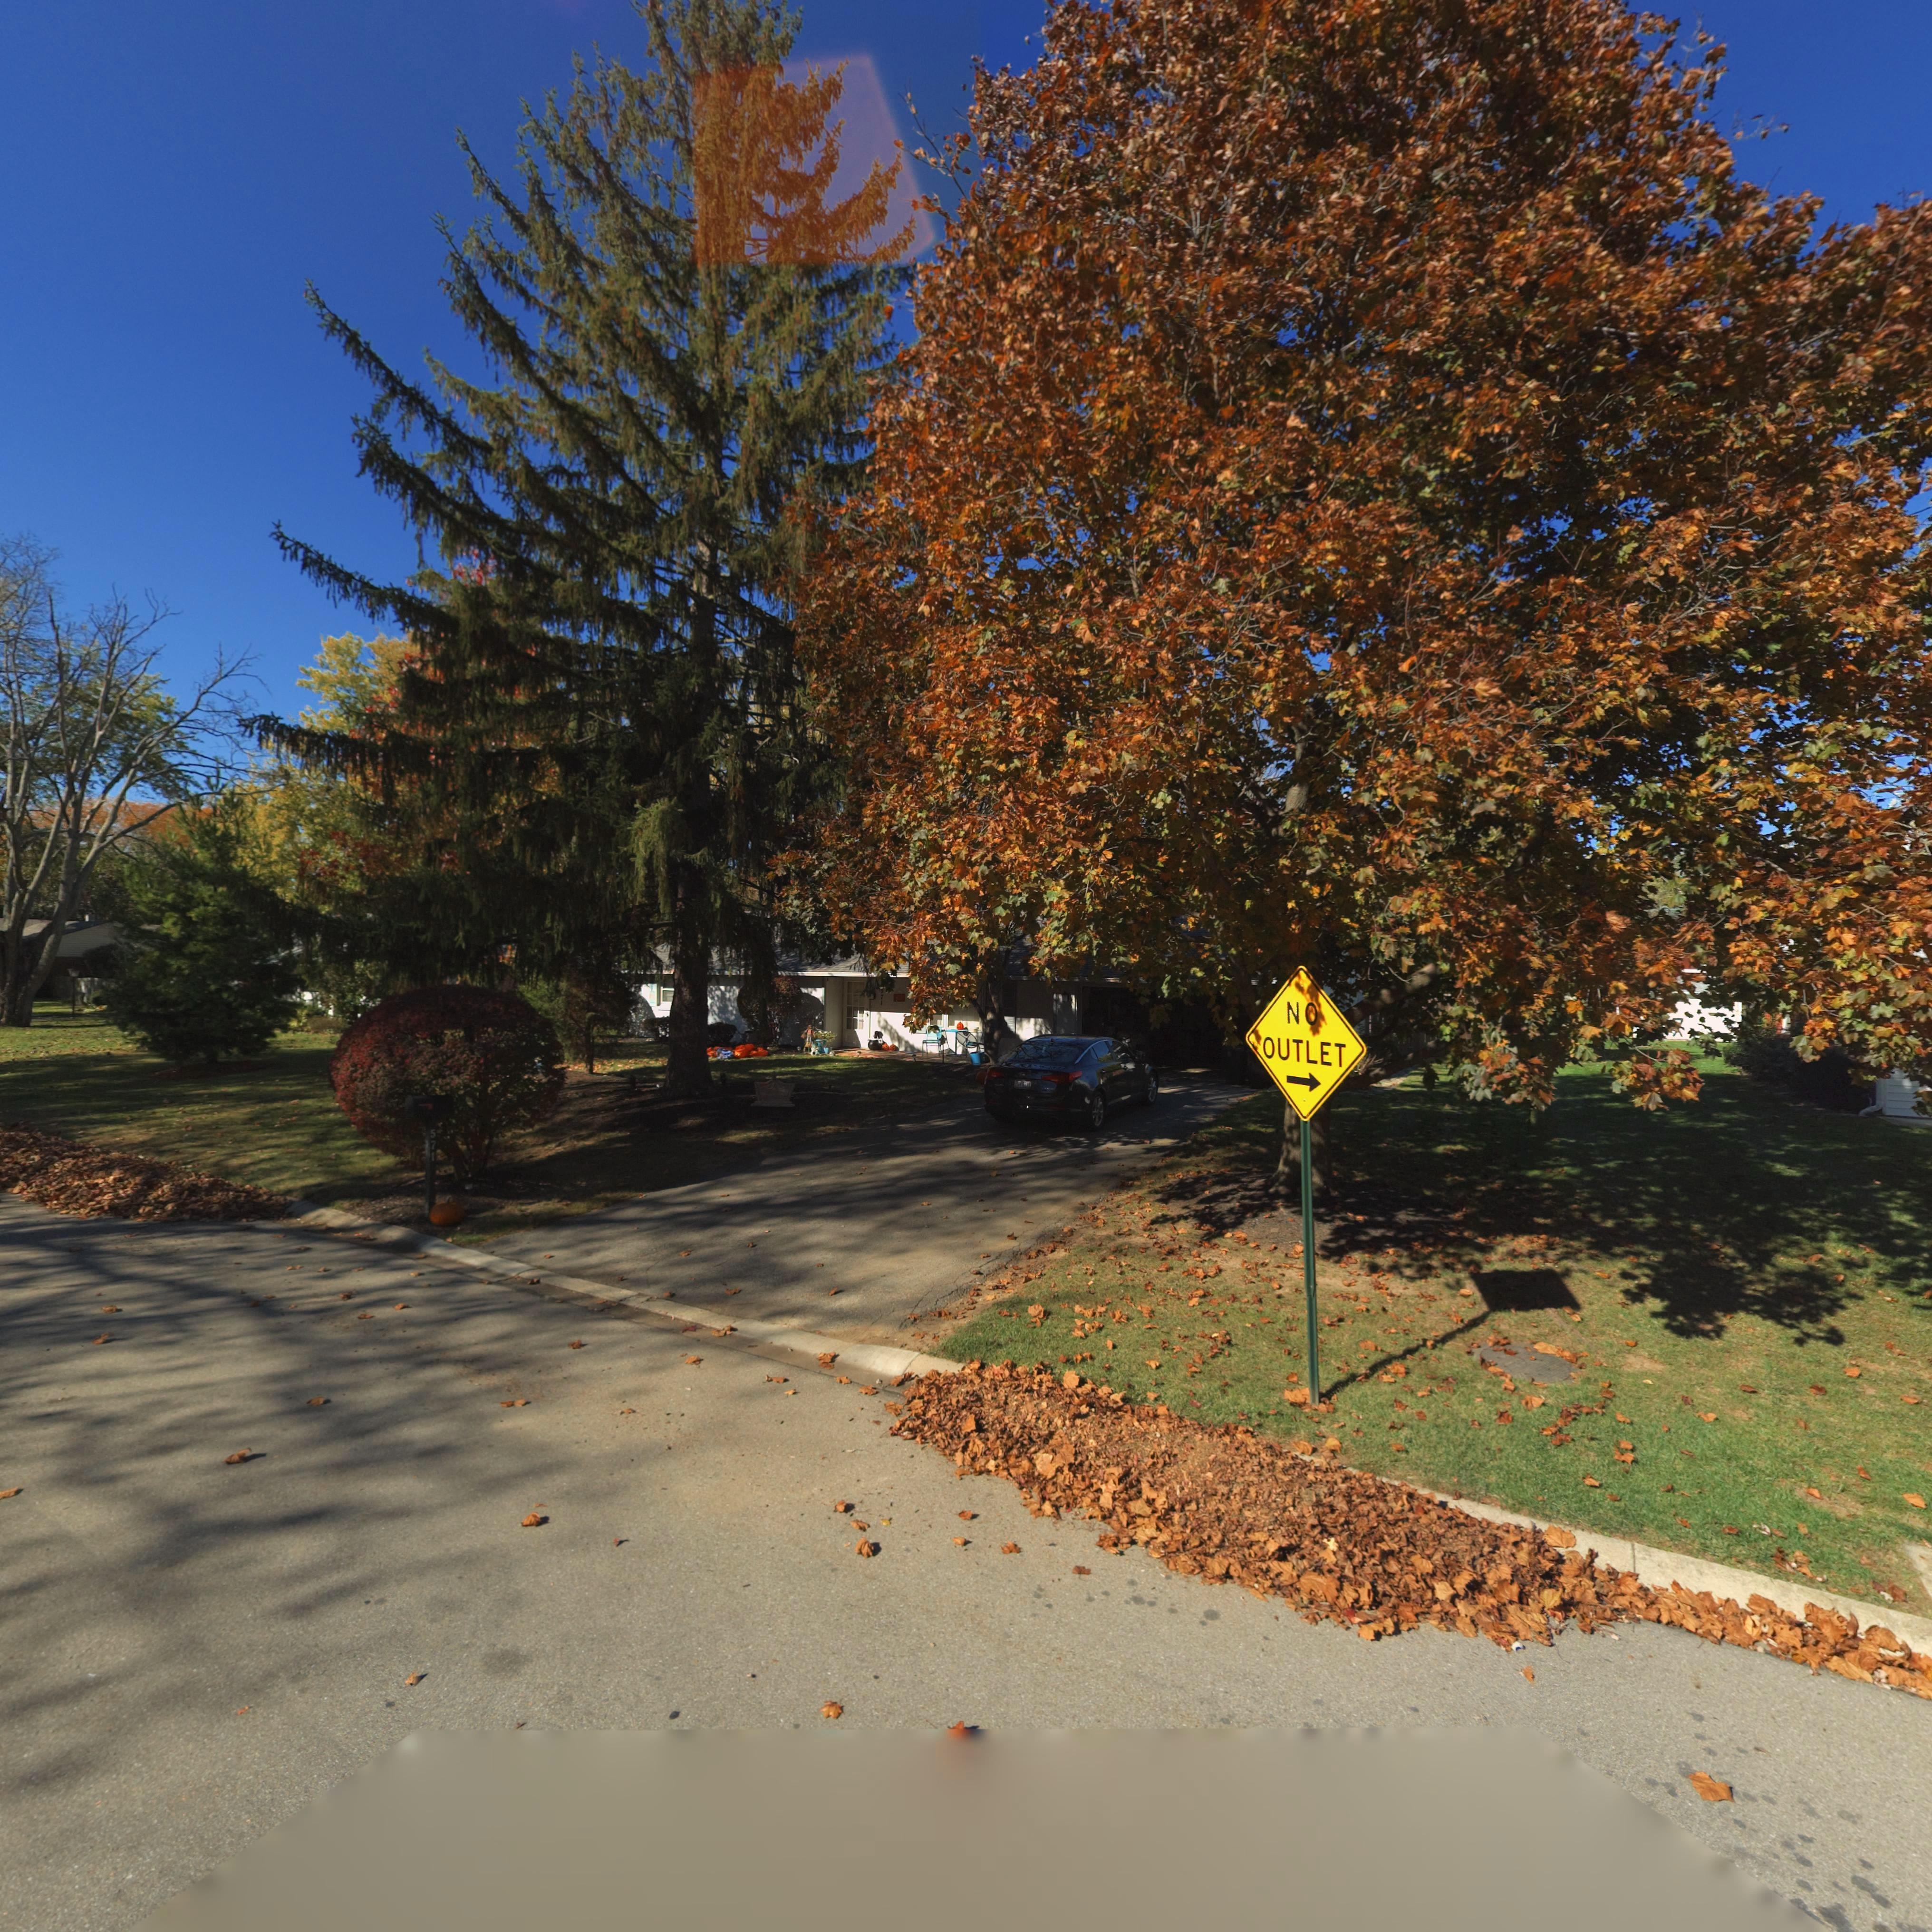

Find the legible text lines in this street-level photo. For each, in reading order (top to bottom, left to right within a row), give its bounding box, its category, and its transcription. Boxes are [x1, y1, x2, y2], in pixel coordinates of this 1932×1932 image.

[1285, 1000, 1318, 1027] None: NO
[1262, 1036, 1347, 1069] None: OUTLET
[430, 1128, 436, 1162] StreetNumber: 571